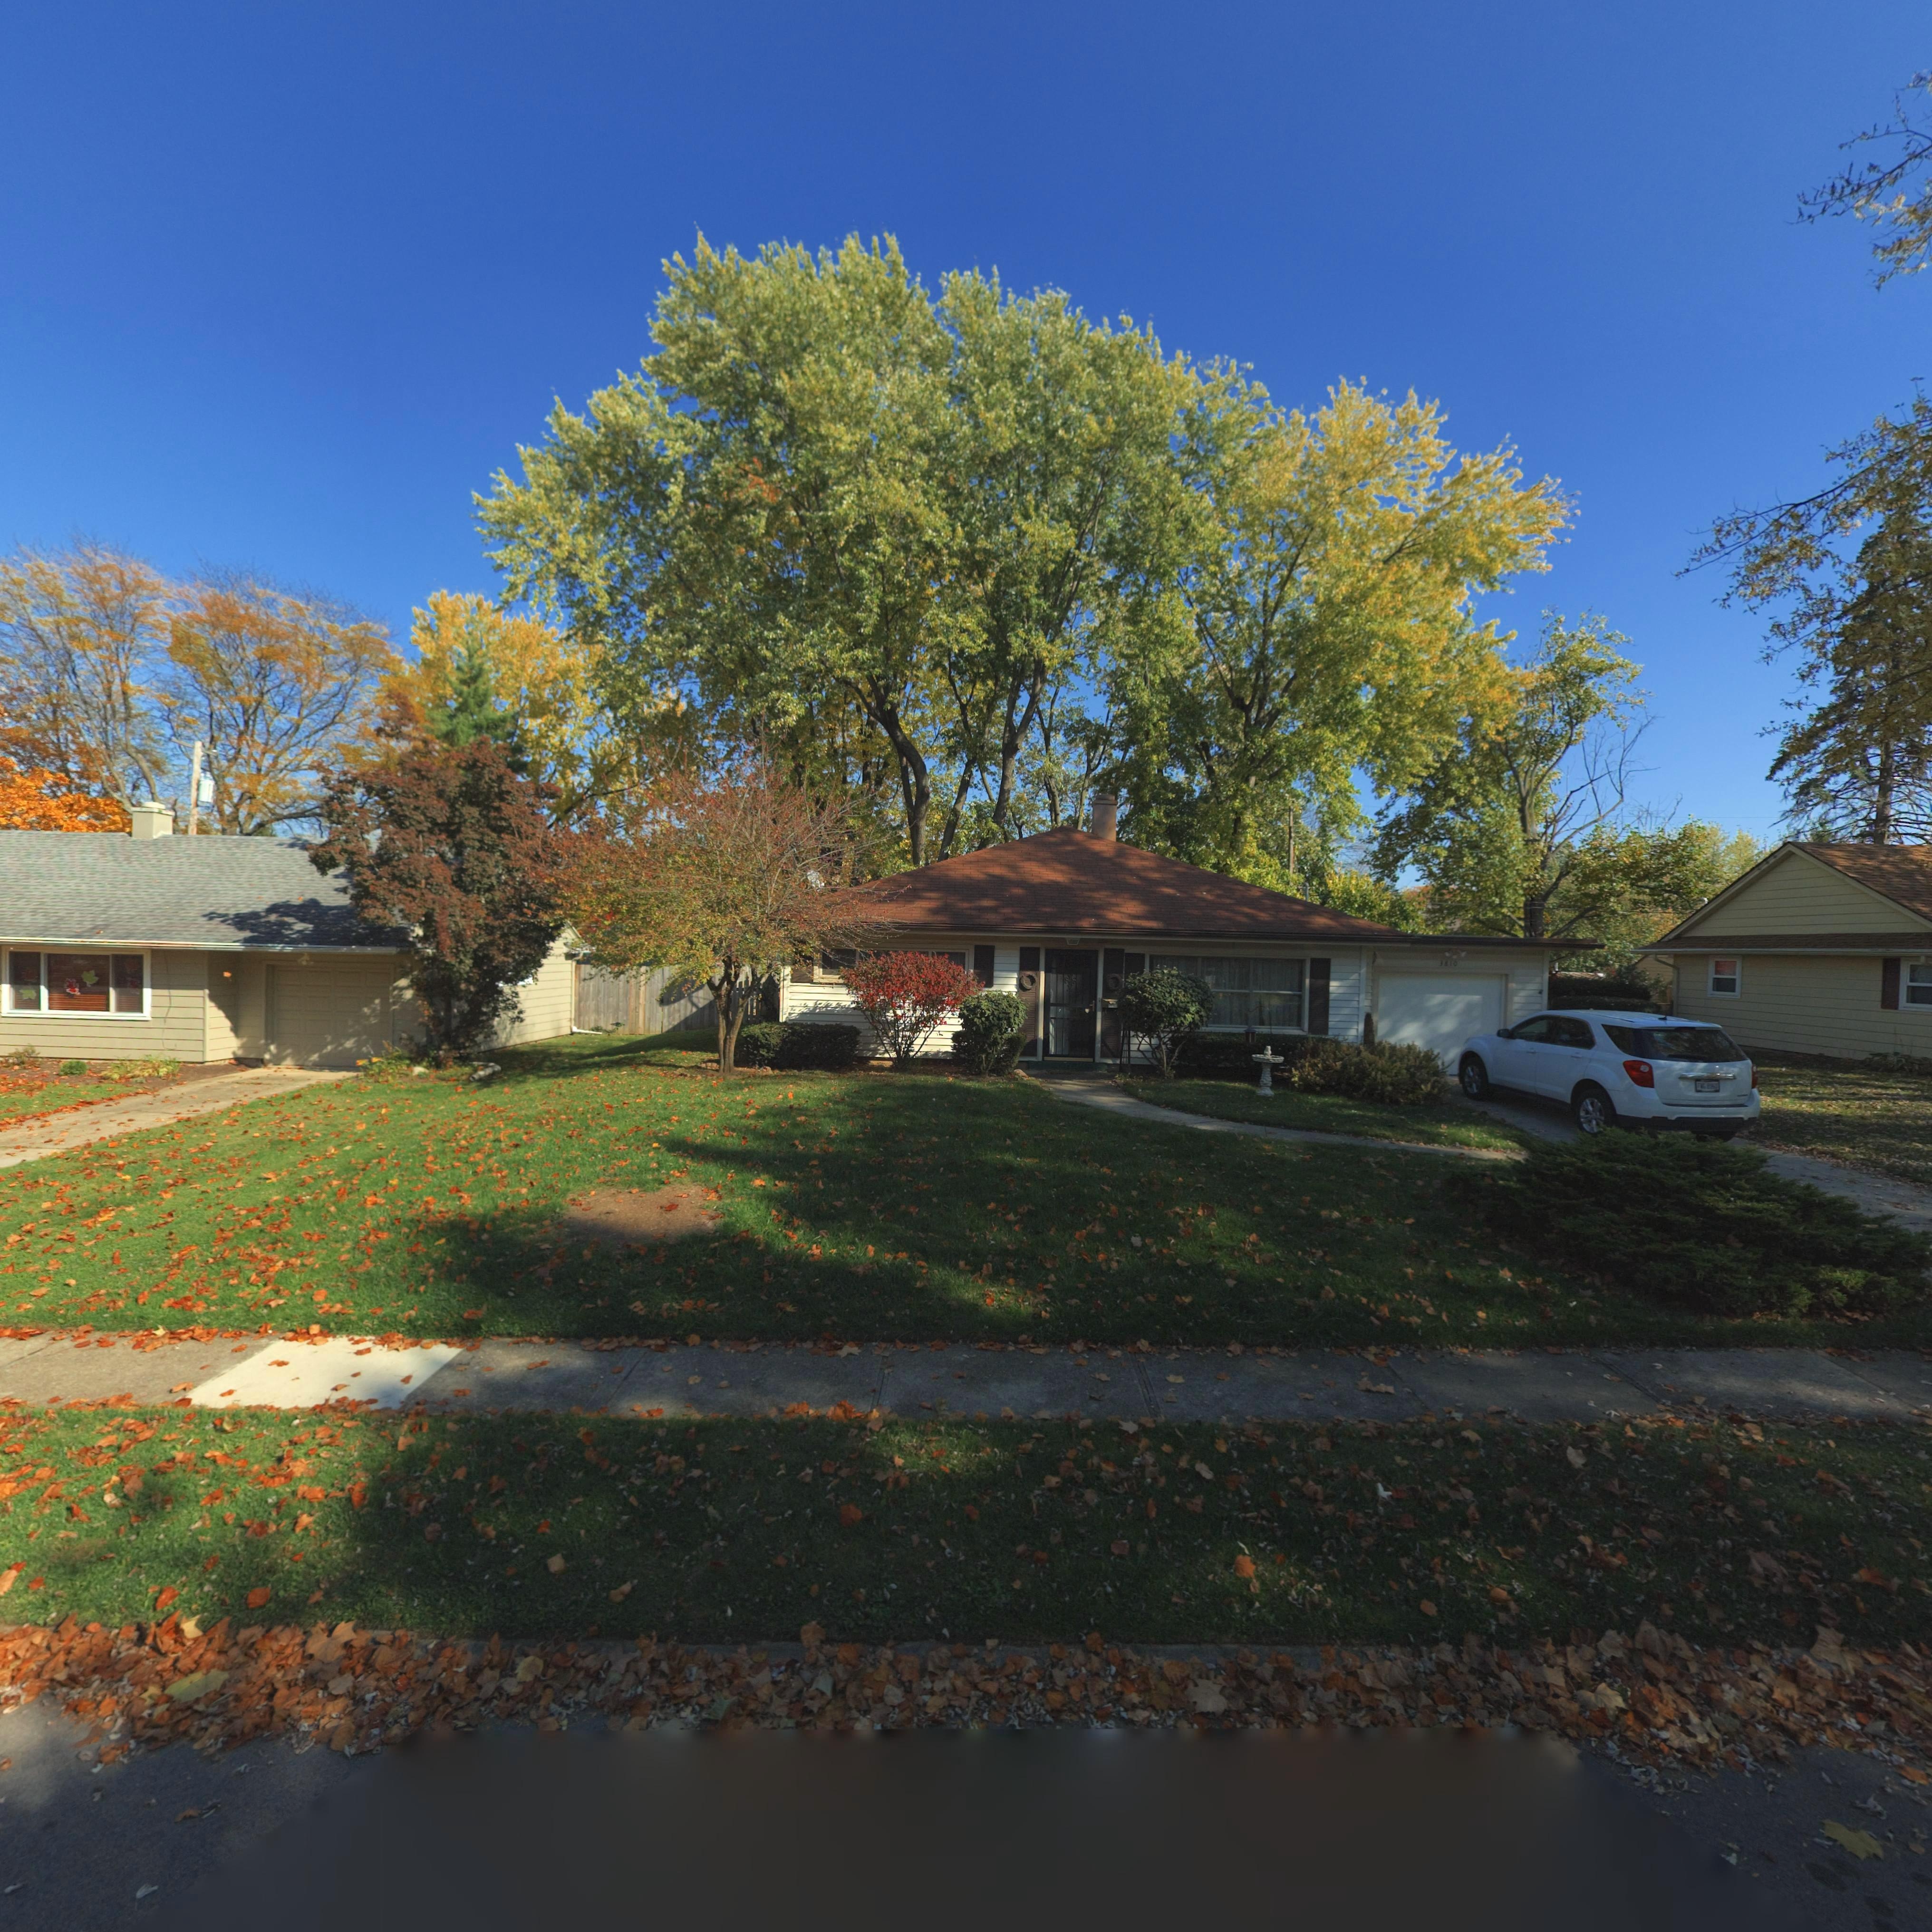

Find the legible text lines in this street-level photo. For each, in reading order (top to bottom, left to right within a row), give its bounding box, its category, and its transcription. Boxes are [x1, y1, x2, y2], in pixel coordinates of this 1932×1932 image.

[1439, 959, 1458, 966] StreetNumber: 3810
[1696, 1082, 1718, 1089] None: FWG 8960